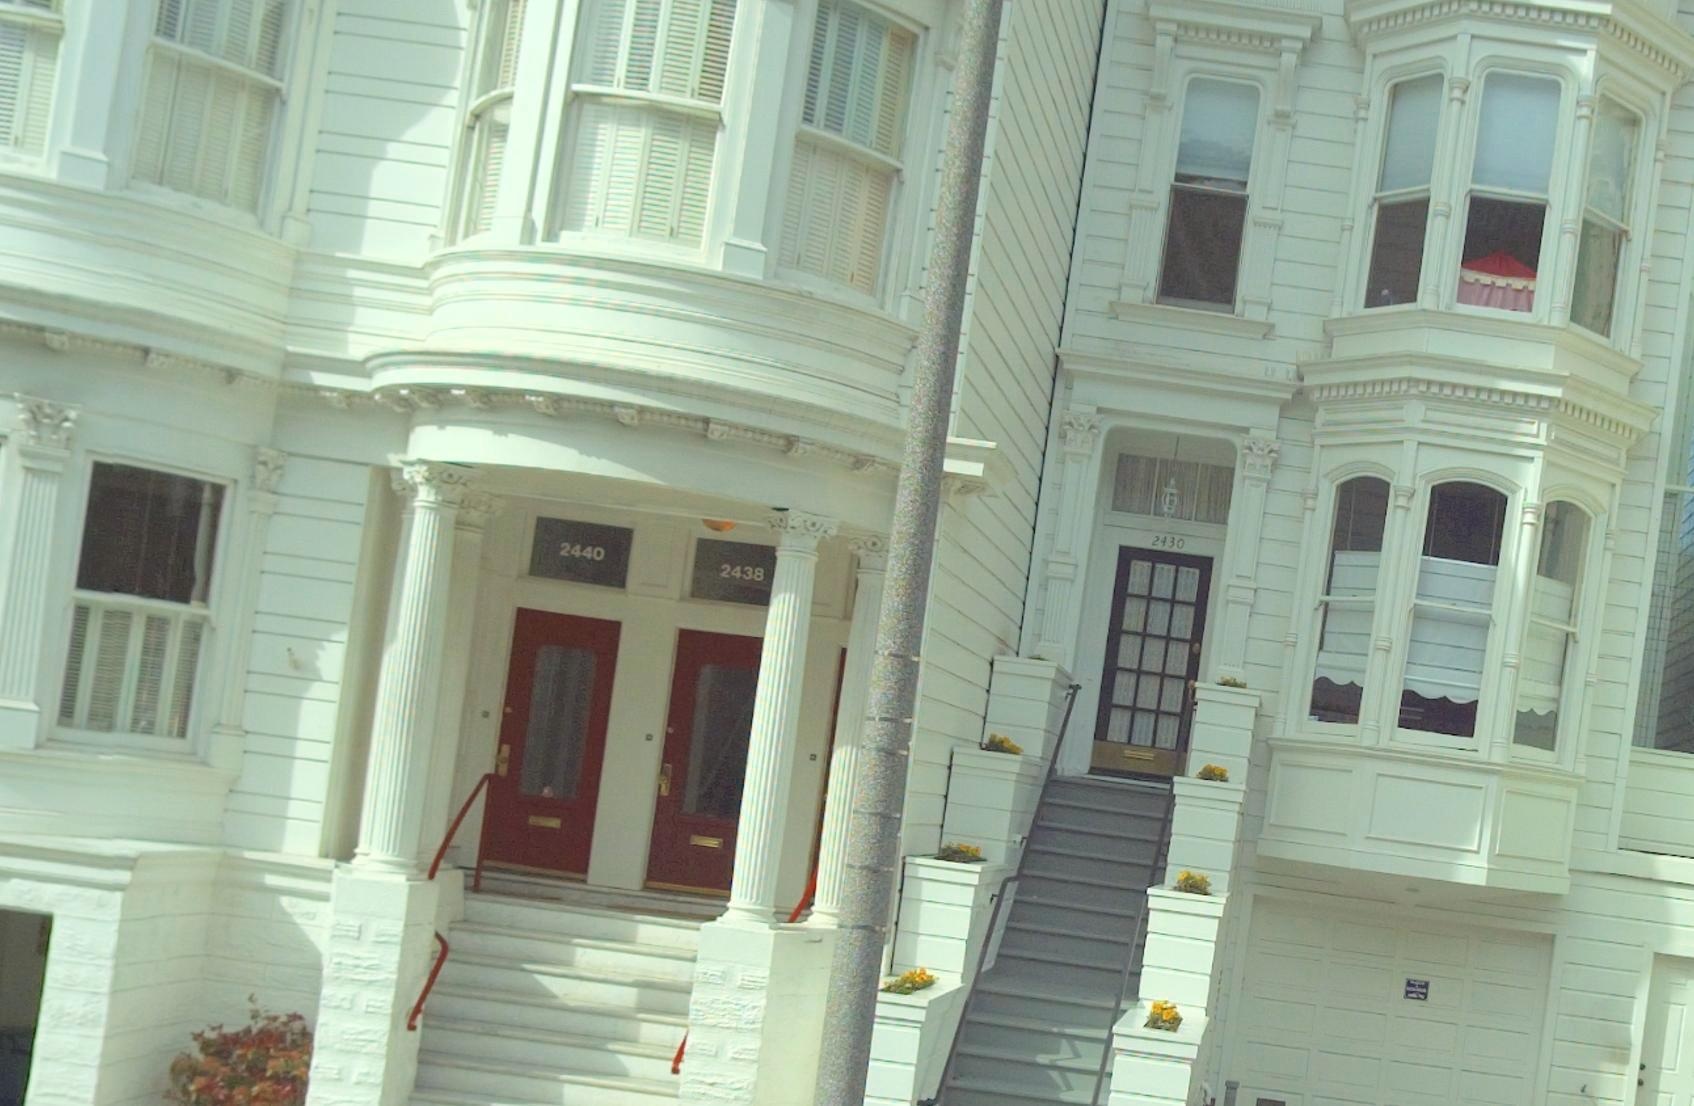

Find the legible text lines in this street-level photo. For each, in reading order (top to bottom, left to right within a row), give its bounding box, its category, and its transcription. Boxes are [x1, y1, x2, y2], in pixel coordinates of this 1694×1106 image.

[558, 539, 608, 563] StreetNumber: 2440
[1149, 533, 1187, 552] StreetNumber: 2430
[719, 562, 765, 583] StreetNumber: 2438